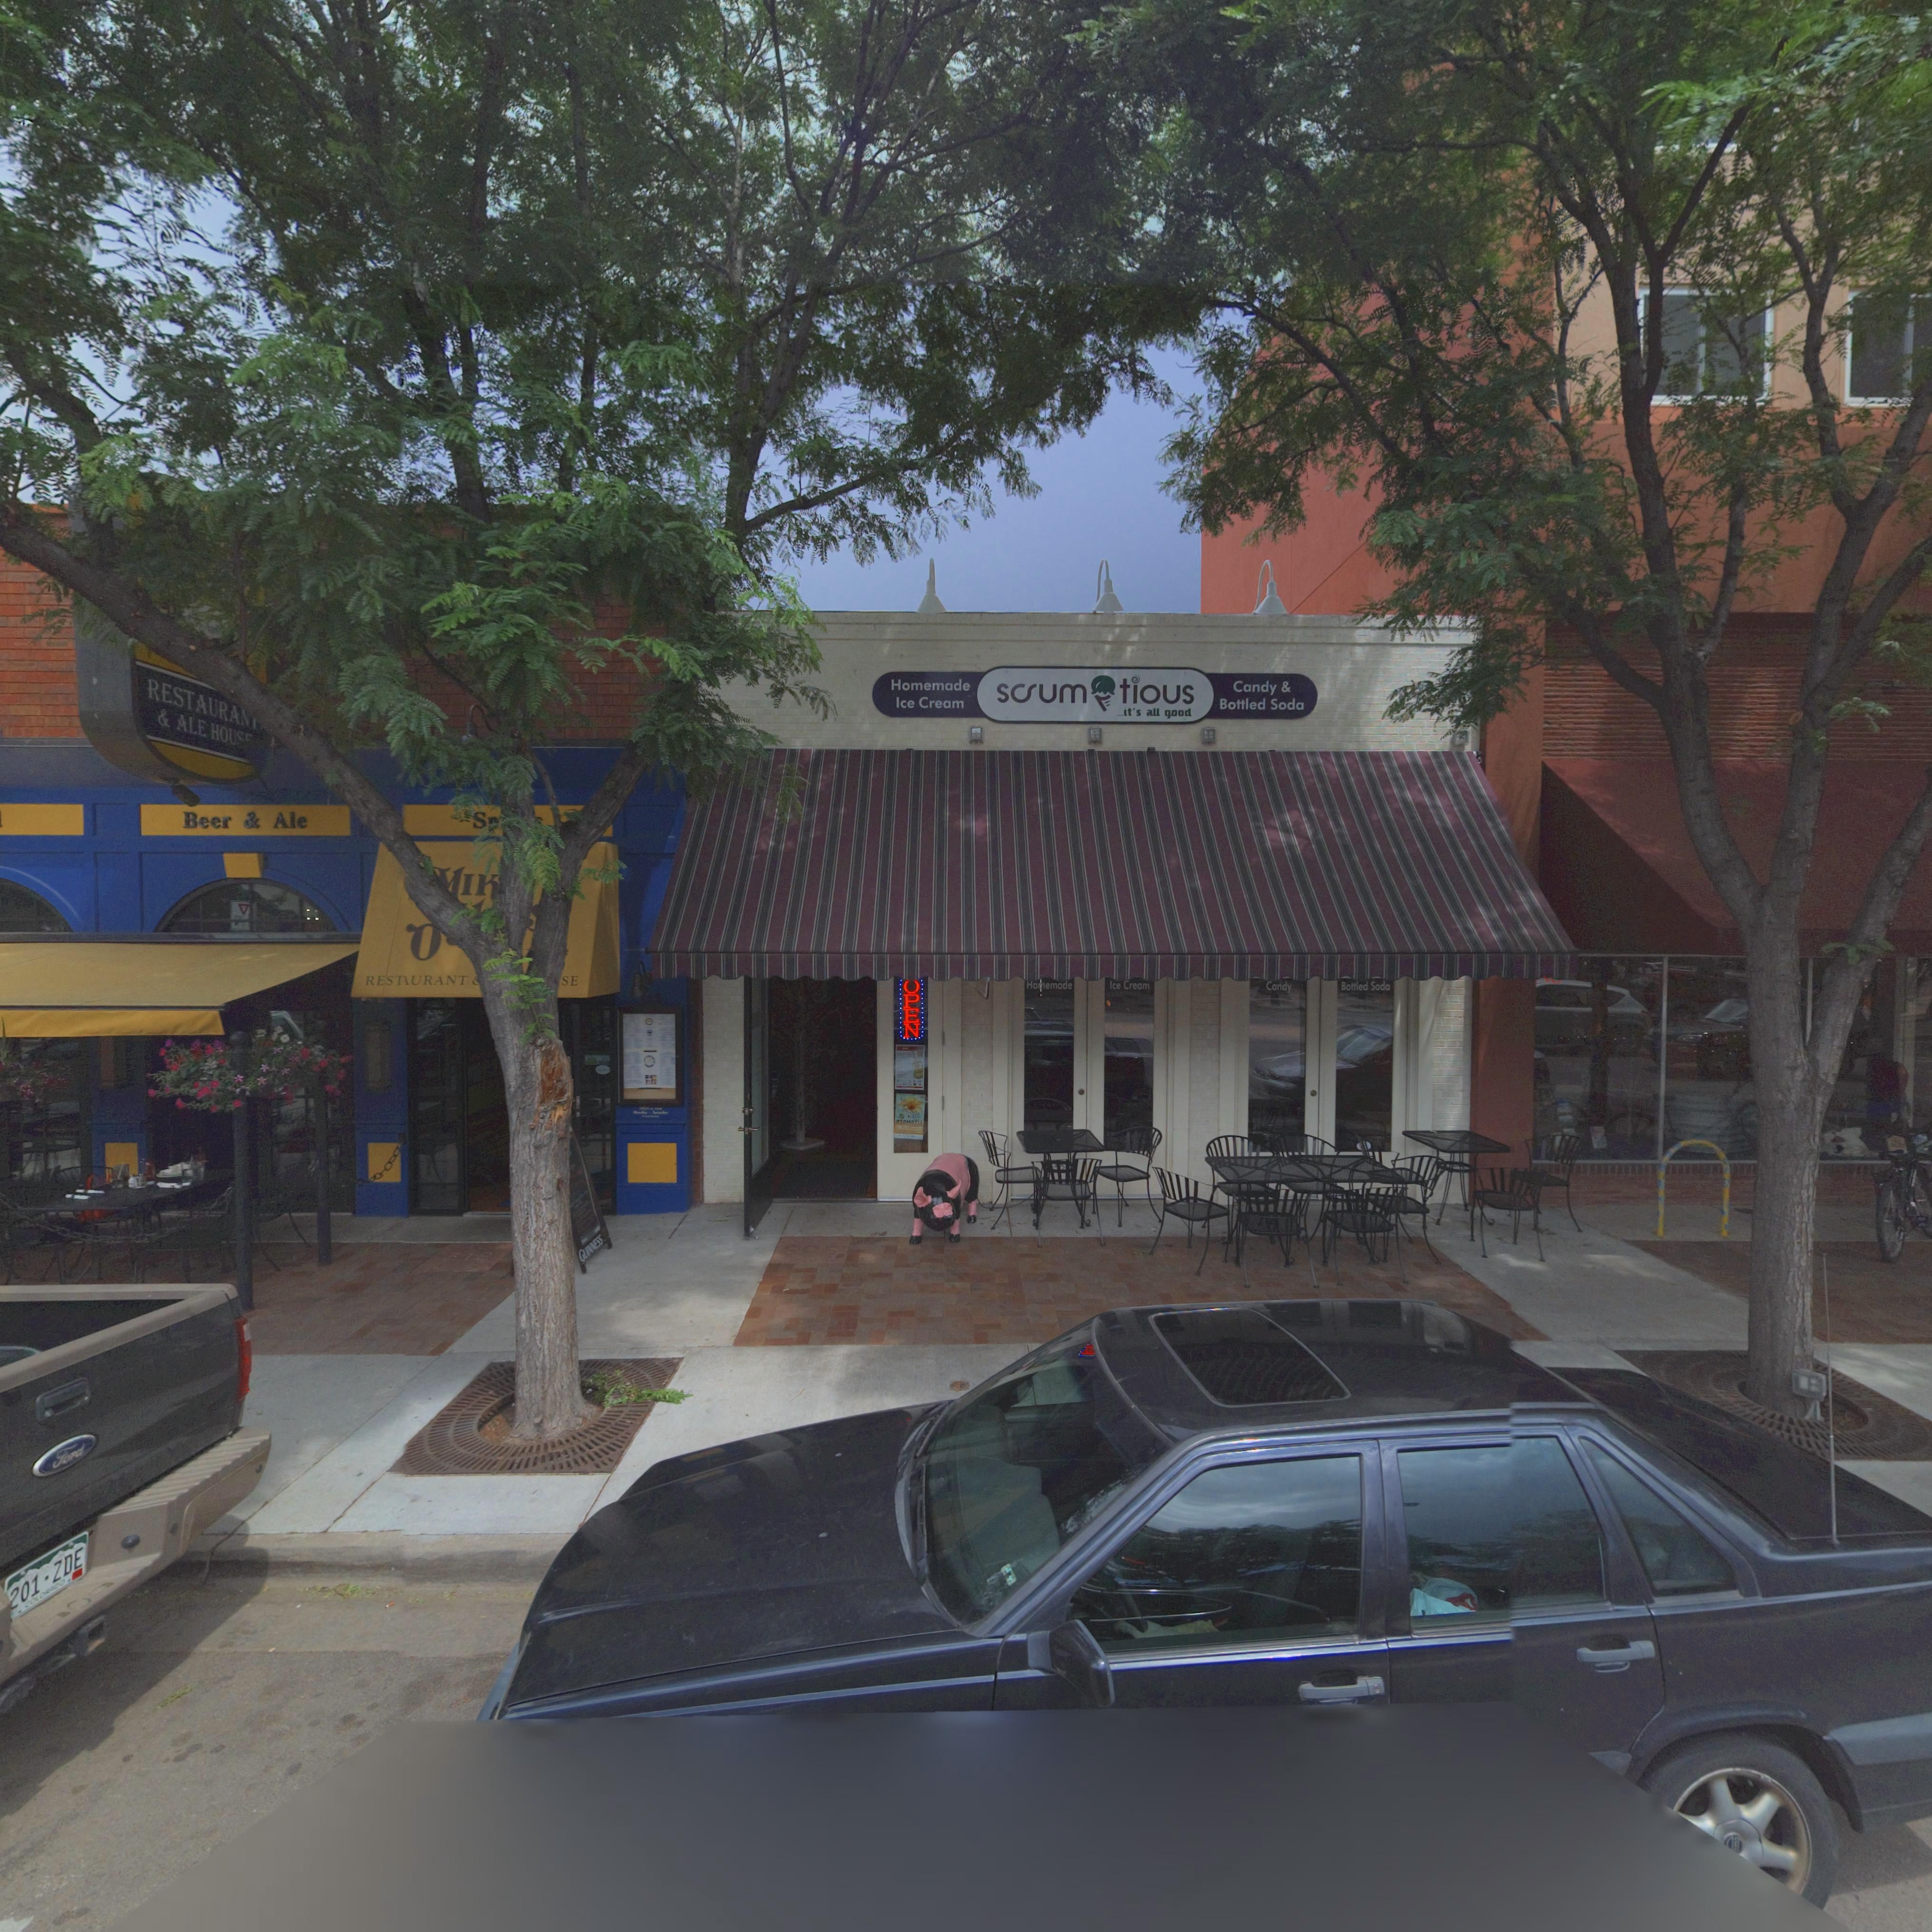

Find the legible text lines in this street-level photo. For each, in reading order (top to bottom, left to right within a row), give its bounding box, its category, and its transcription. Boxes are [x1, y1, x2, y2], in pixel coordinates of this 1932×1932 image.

[994, 672, 1197, 714] BusinessName: s*um*tious
[458, 872, 499, 898] BusinessName: IK
[407, 920, 444, 962] BusinessName: O